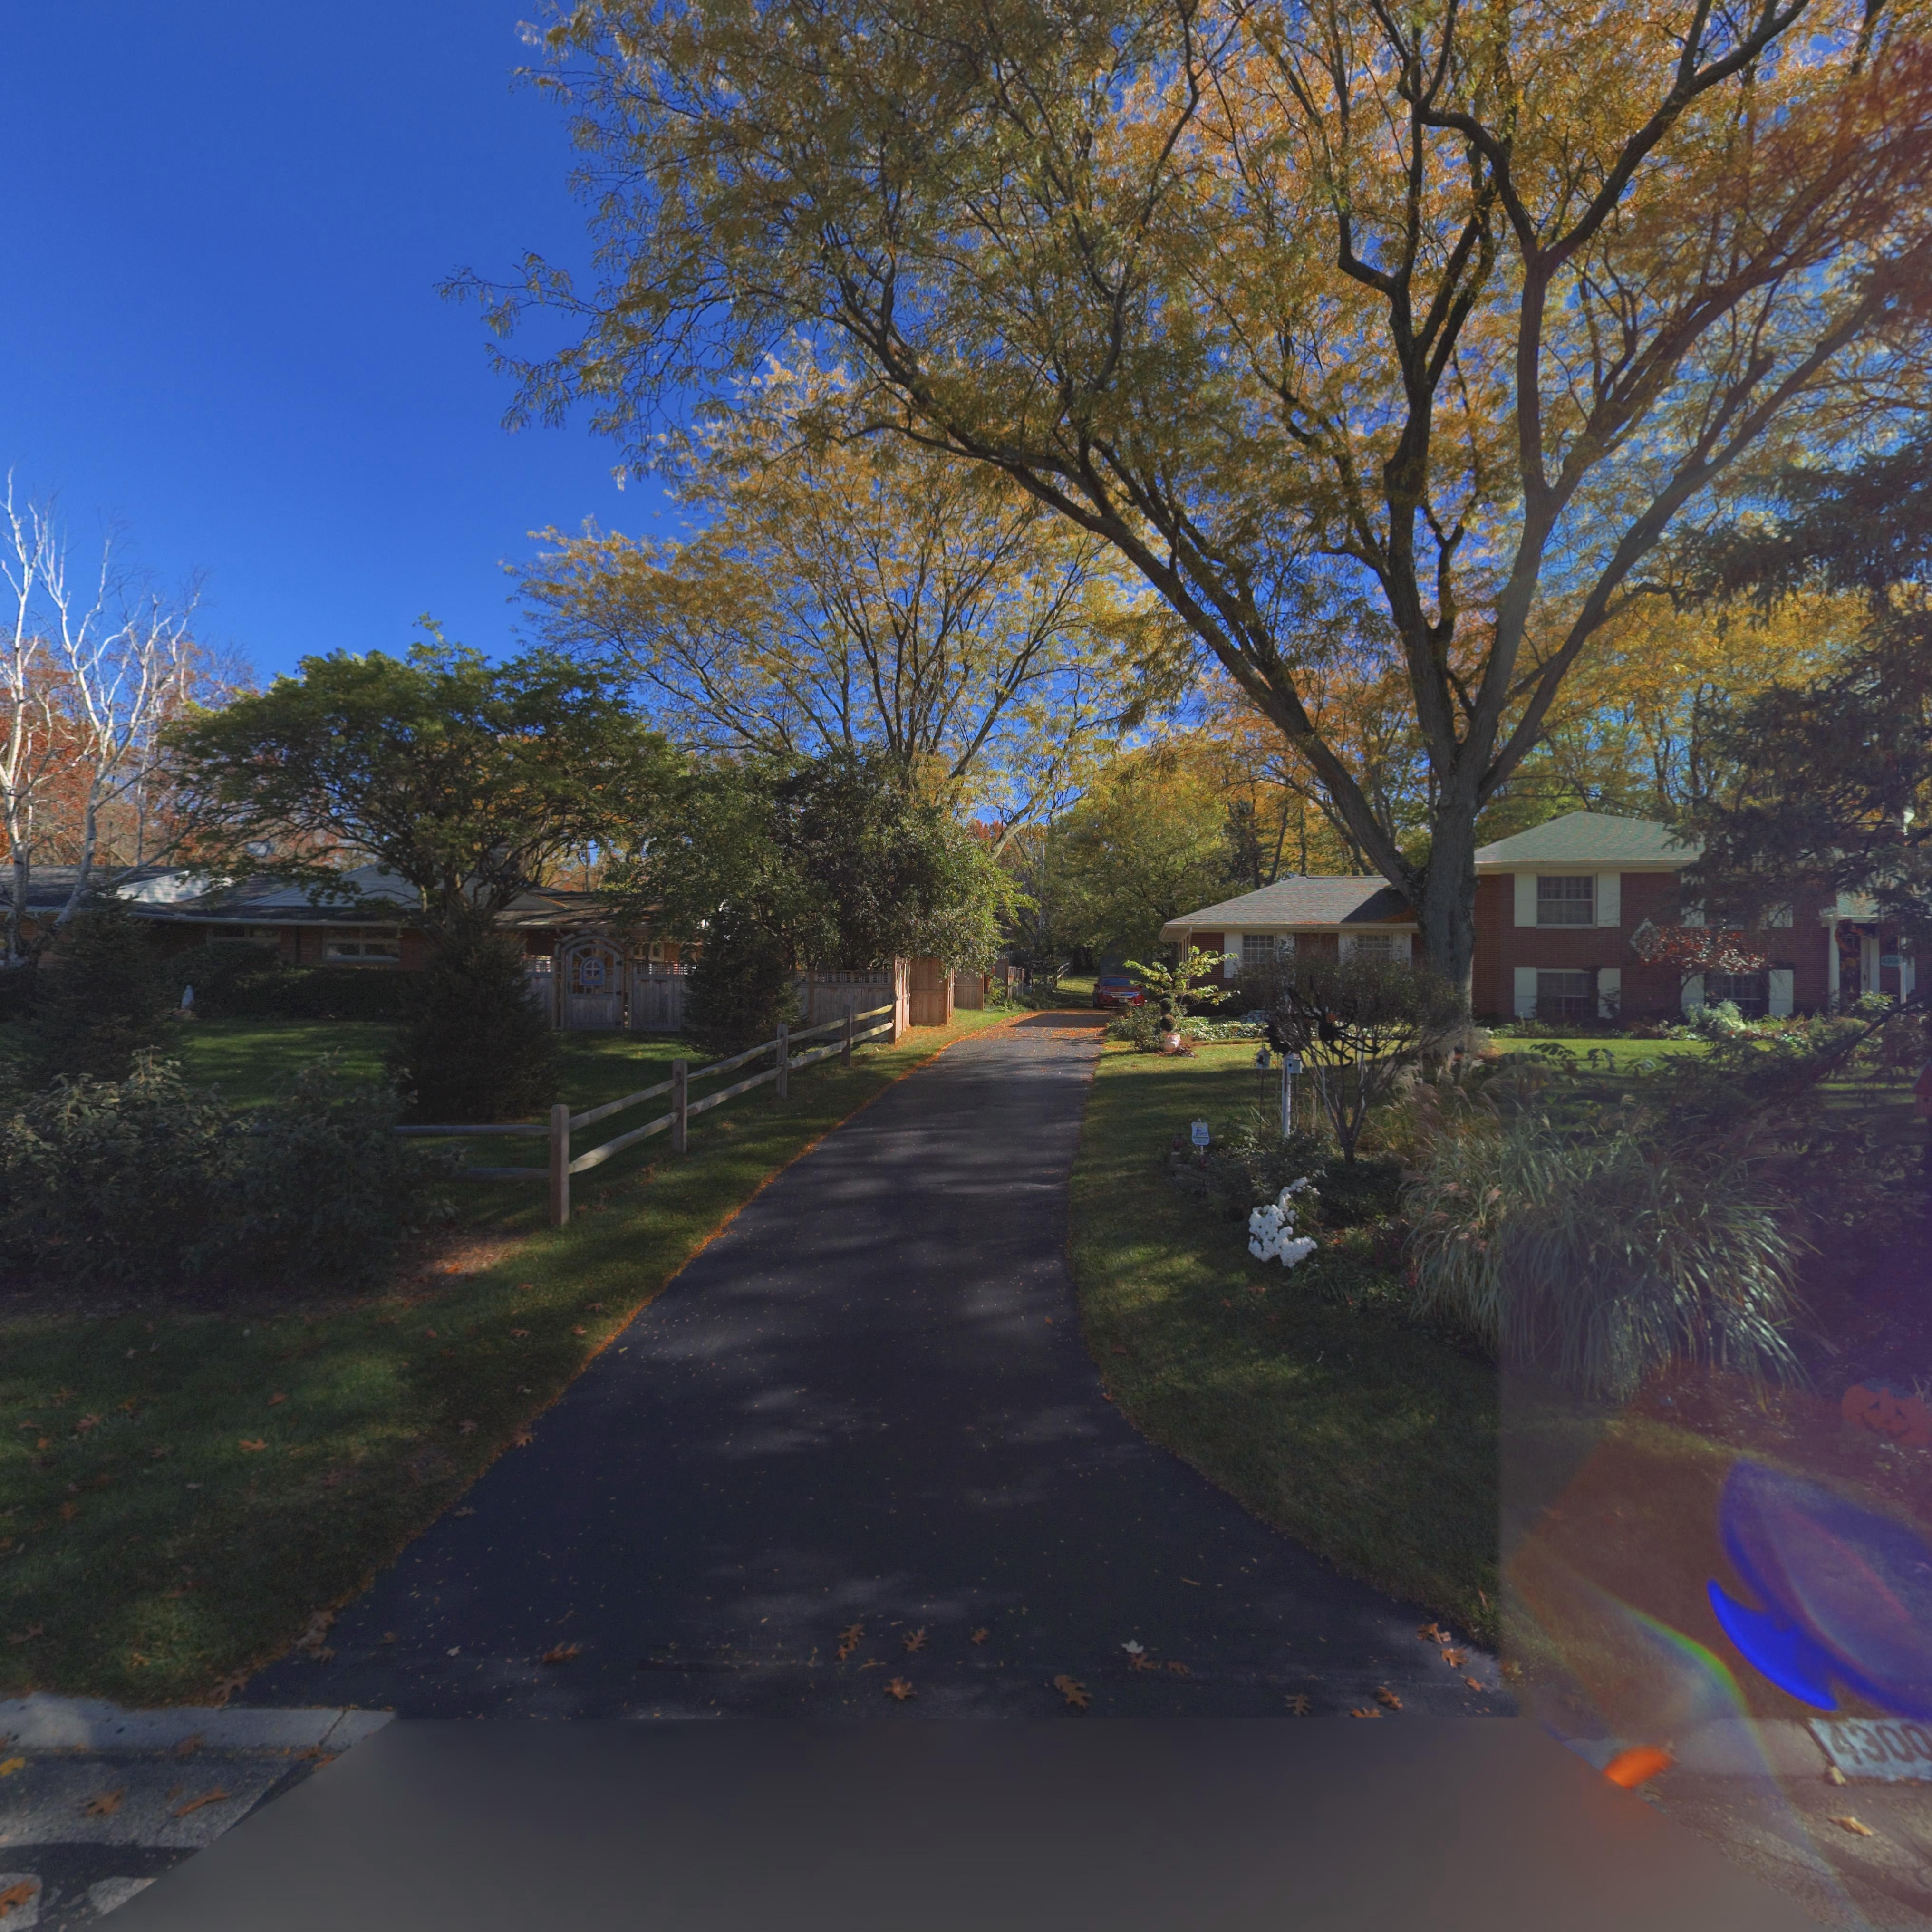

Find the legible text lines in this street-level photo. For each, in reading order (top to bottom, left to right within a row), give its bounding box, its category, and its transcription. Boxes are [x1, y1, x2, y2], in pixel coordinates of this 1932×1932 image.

[1882, 957, 1901, 964] StreetNumber: 4300
[1248, 1010, 1262, 1022] StreetNumber: 43